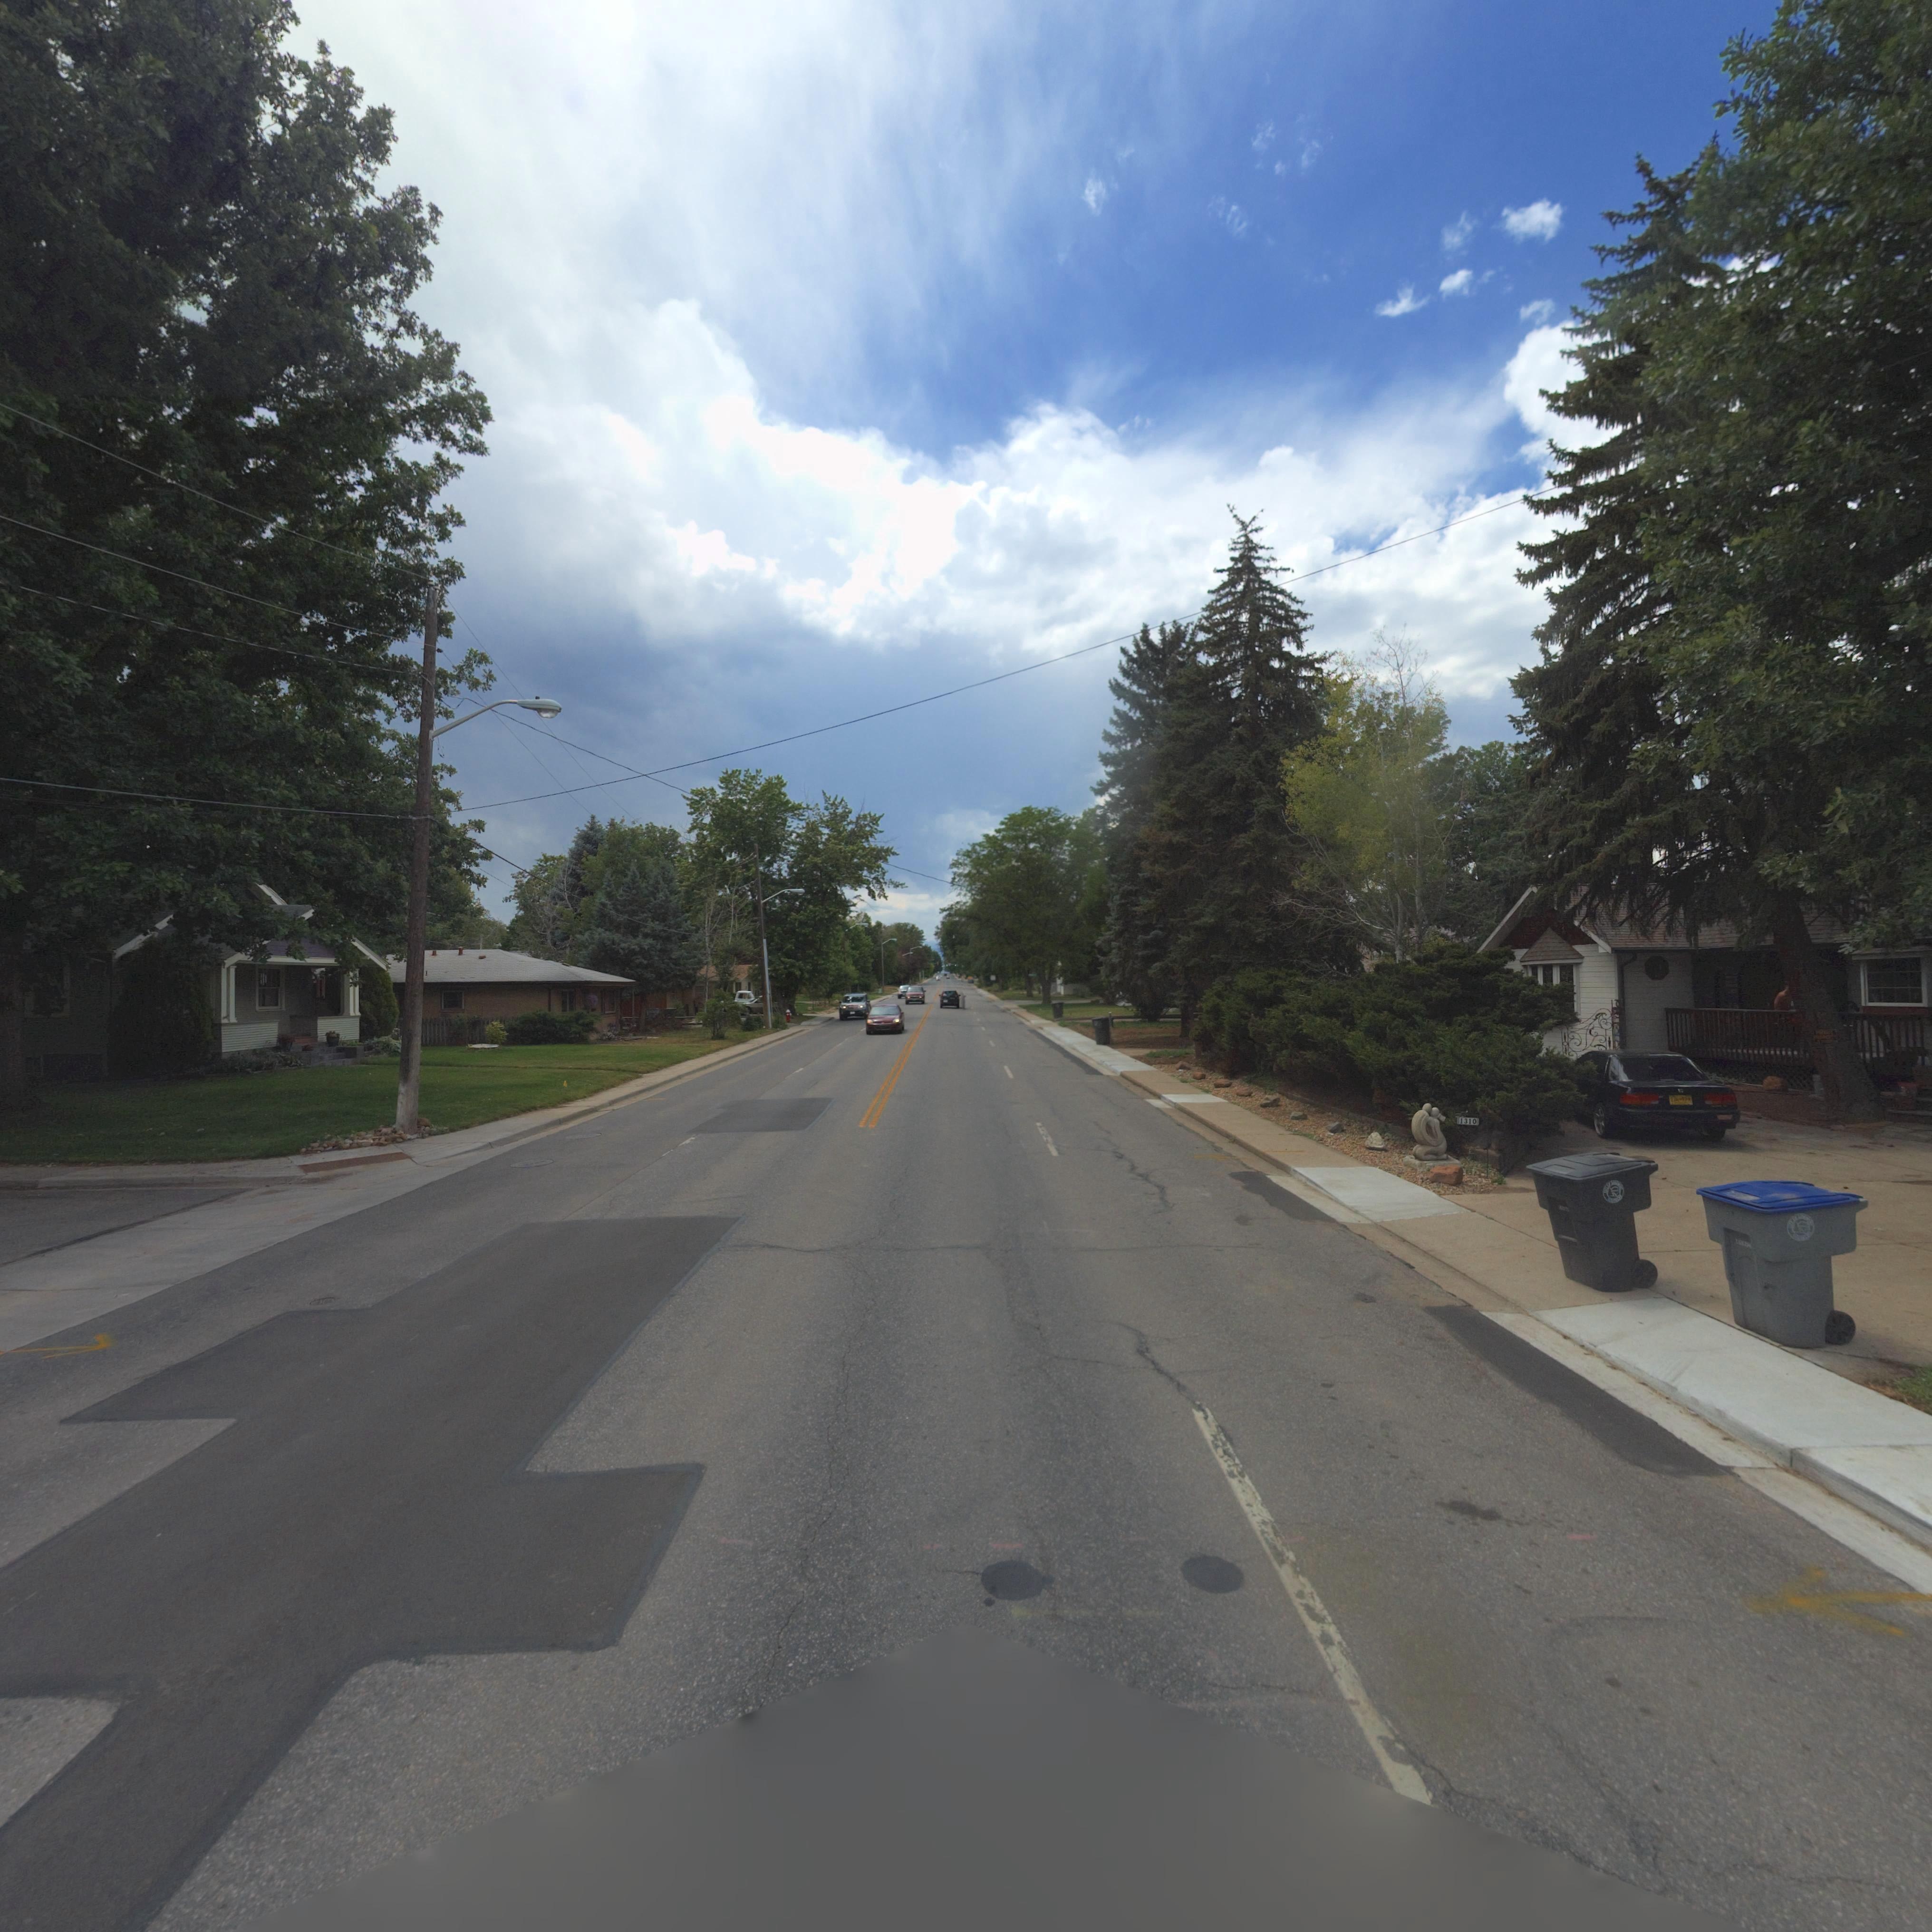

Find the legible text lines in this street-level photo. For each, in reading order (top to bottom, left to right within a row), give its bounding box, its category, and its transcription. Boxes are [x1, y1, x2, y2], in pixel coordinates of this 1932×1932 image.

[1460, 1117, 1478, 1125] StreetNumber: 1310